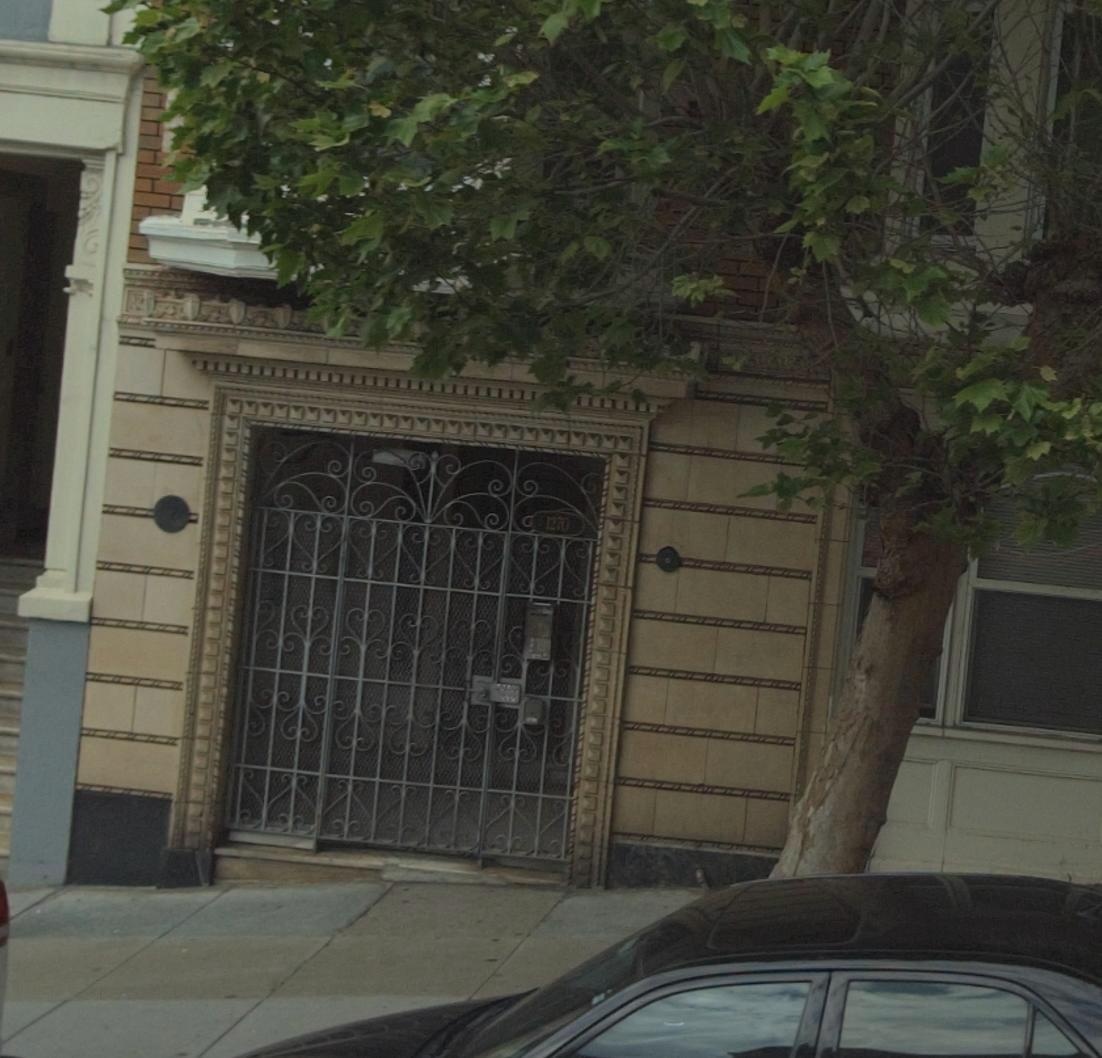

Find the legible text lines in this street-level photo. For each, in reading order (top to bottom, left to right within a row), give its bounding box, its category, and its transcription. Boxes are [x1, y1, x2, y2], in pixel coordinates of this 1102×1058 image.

[545, 515, 572, 532] StreetNumber: 1270